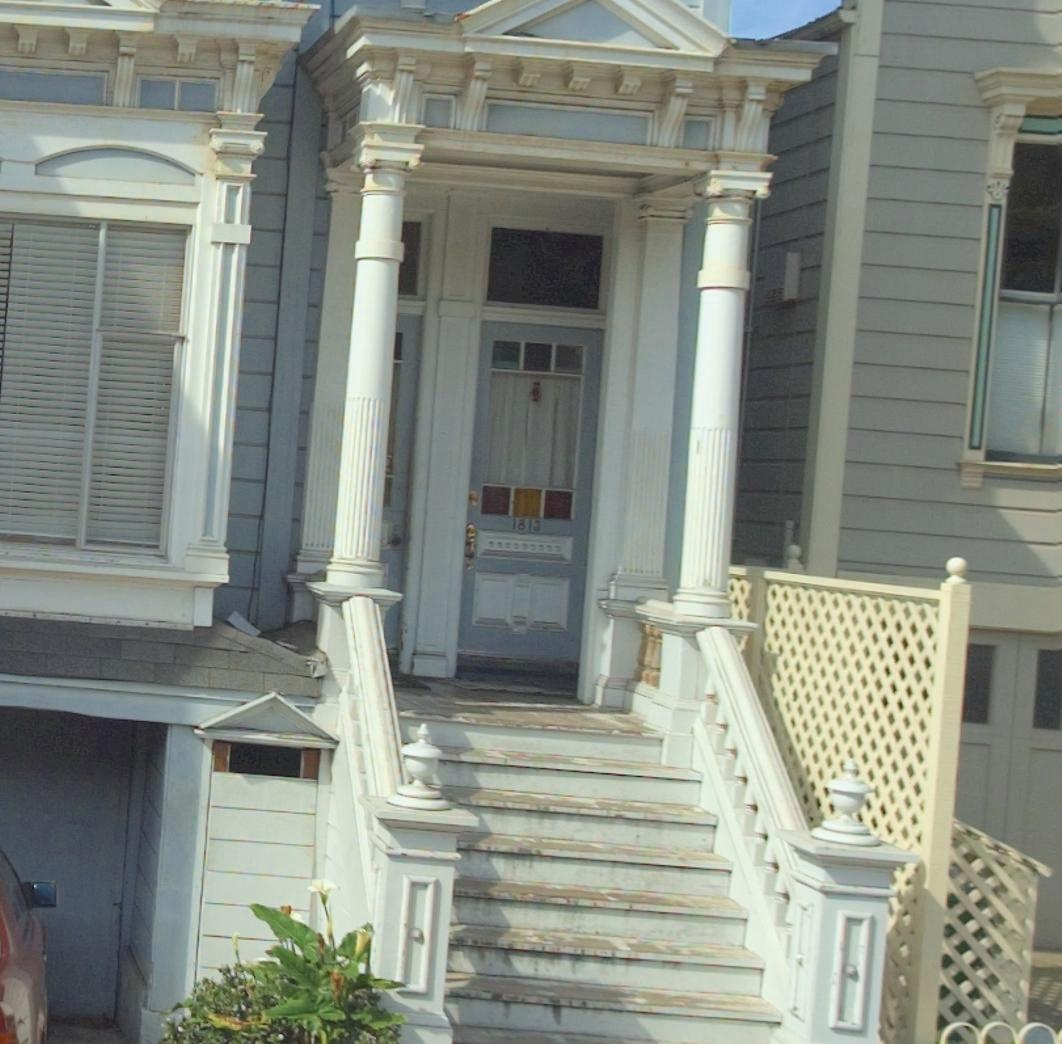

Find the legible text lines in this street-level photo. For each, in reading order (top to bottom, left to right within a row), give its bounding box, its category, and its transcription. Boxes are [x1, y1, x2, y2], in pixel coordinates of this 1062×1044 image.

[509, 515, 543, 534] StreetNumber: 1813